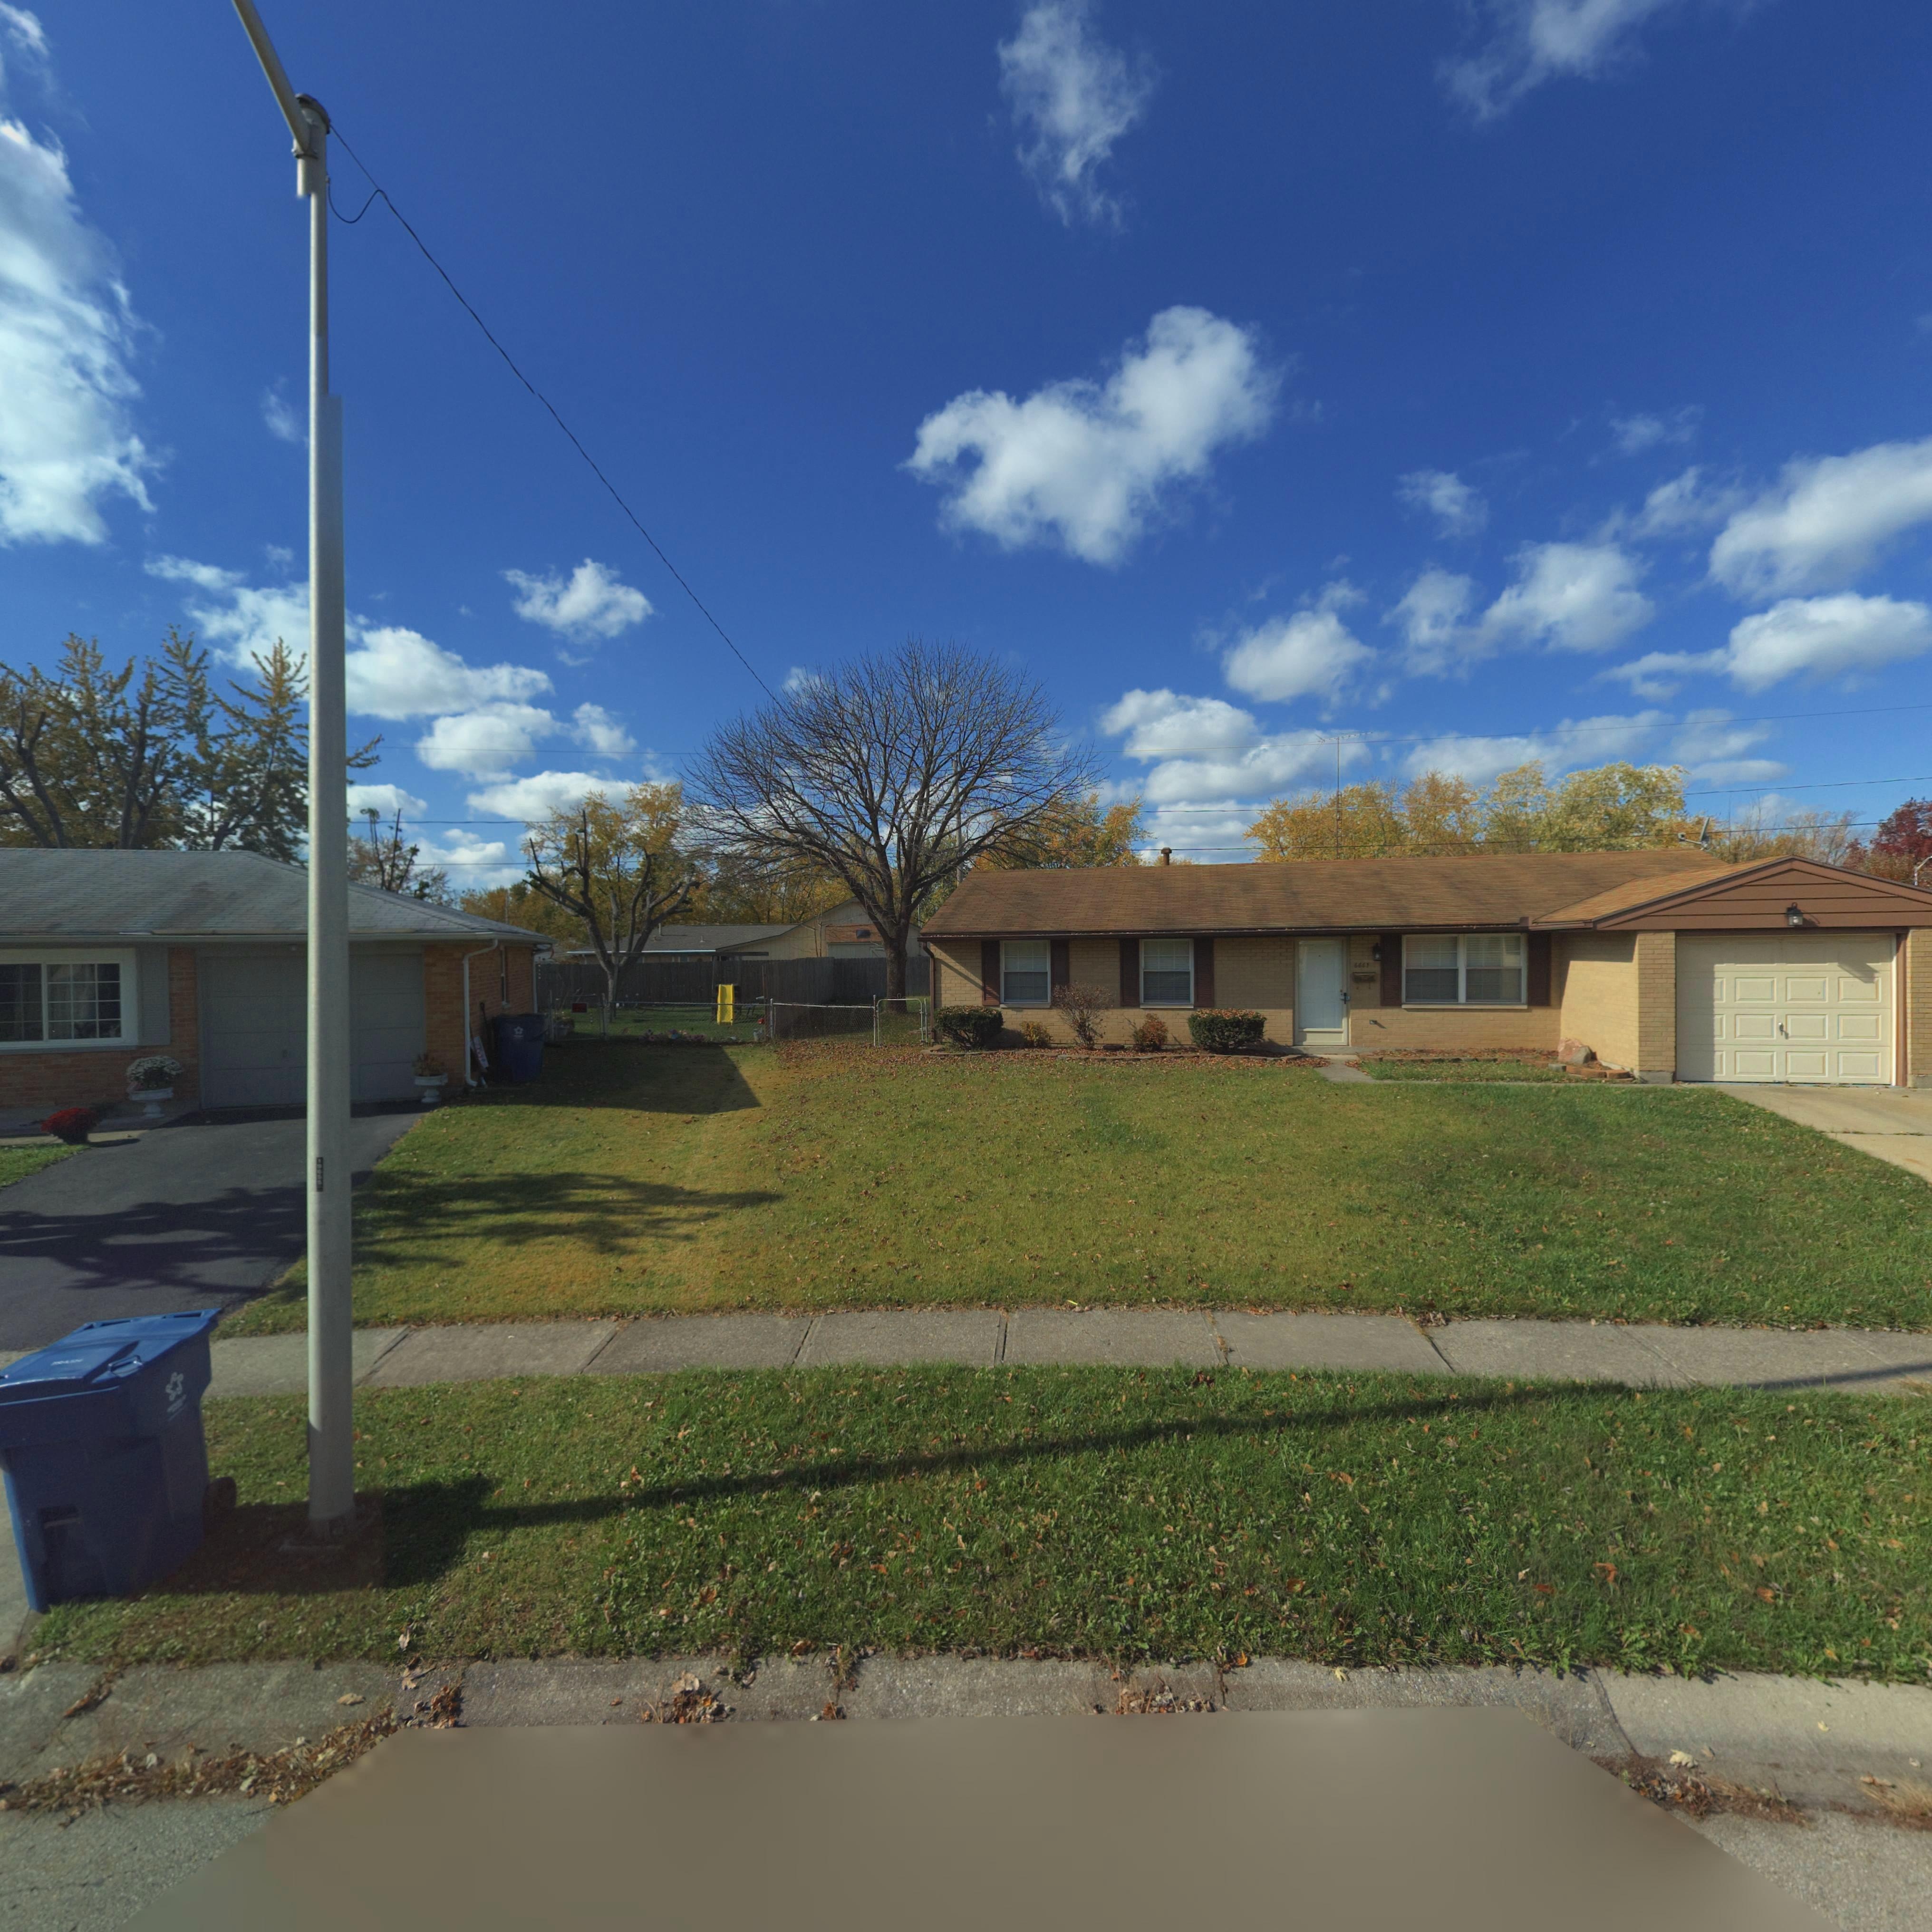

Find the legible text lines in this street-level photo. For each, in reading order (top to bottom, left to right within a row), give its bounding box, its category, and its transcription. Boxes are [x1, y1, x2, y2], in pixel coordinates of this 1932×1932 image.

[1353, 962, 1369, 968] StreetNumber: 6661